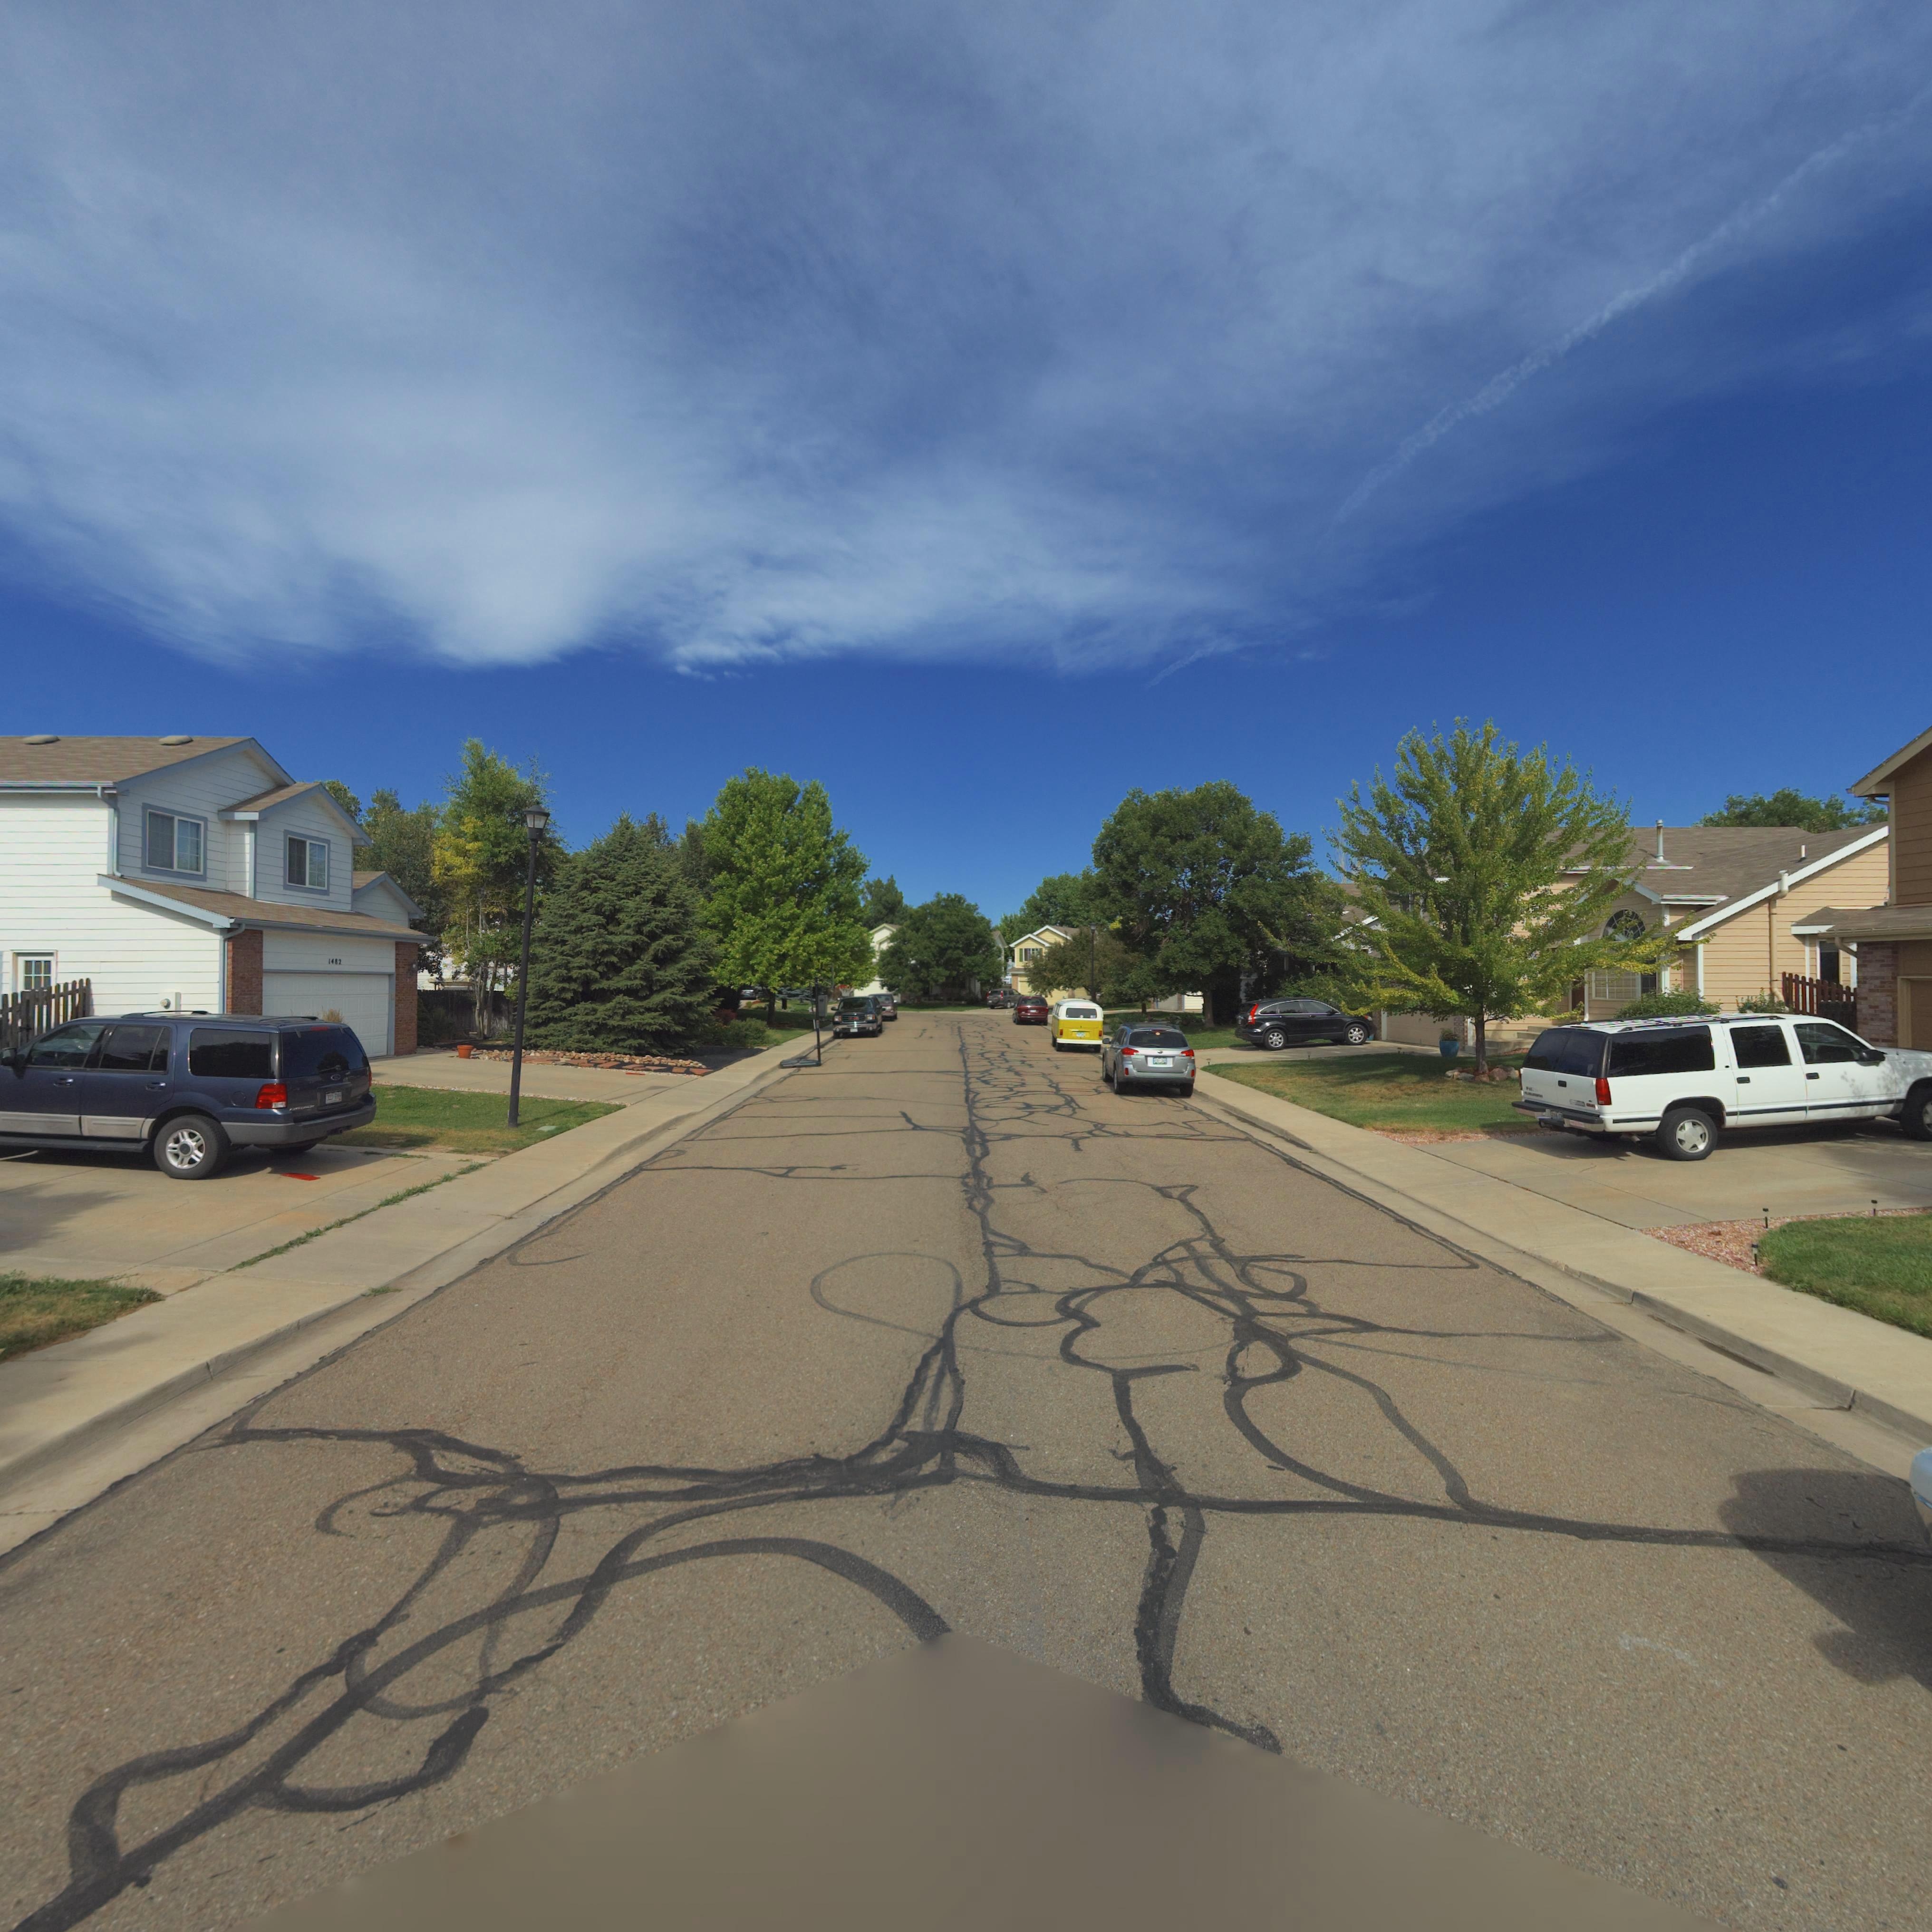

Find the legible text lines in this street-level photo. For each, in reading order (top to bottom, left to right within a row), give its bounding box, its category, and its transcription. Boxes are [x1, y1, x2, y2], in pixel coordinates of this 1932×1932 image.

[328, 957, 342, 965] StreetNumber: 1482